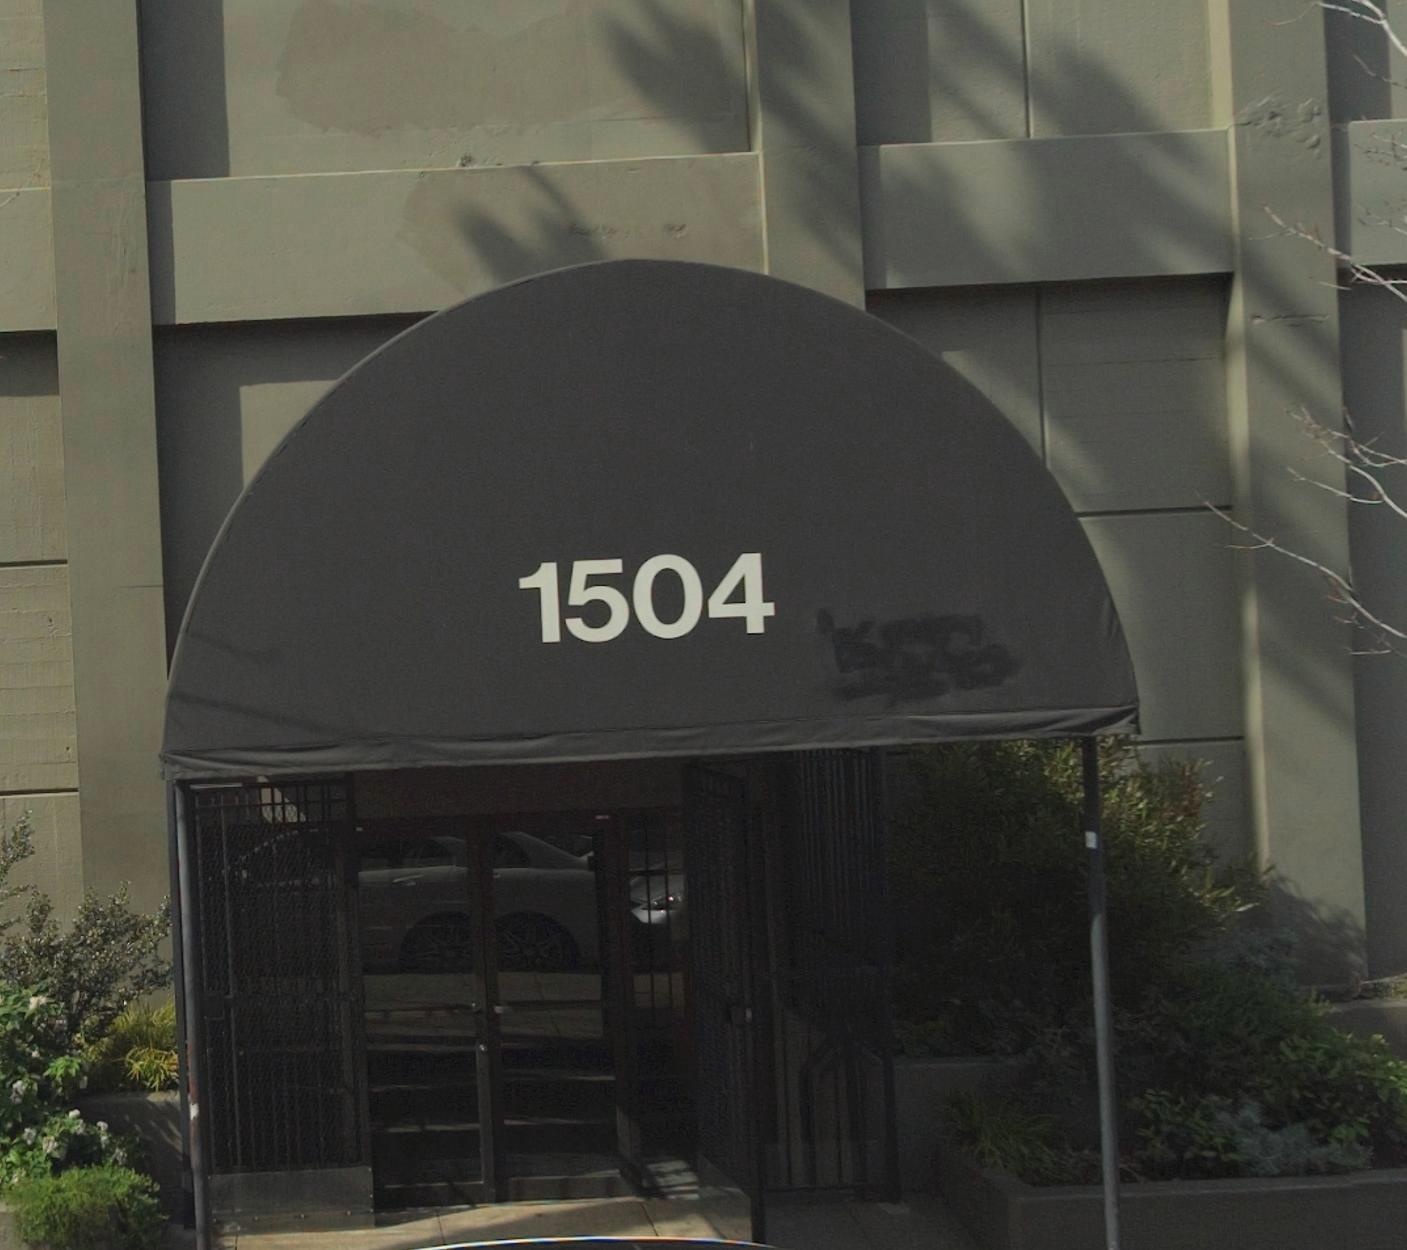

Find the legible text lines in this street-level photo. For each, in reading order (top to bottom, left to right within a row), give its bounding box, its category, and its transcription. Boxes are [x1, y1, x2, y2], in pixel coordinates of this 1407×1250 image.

[505, 546, 782, 649] StreetNumber: 1504